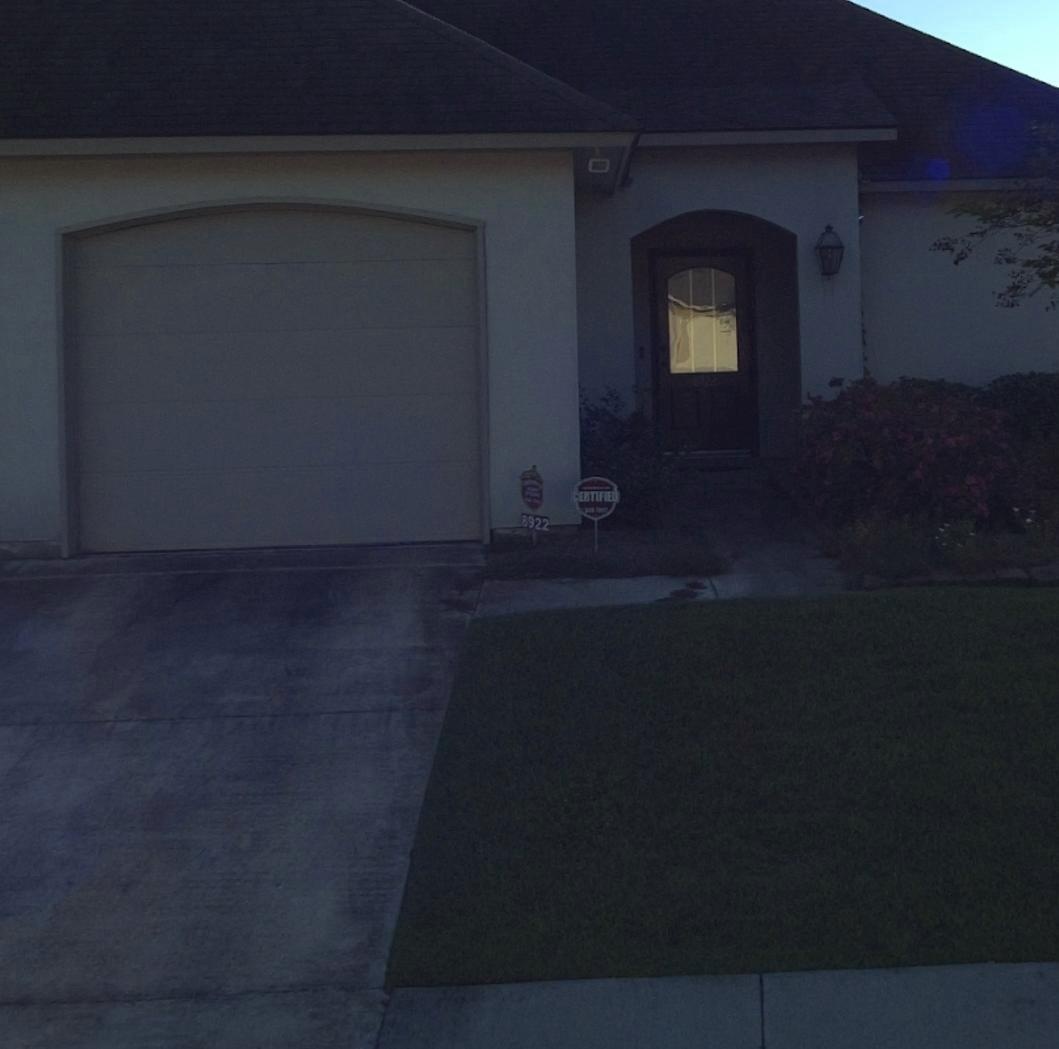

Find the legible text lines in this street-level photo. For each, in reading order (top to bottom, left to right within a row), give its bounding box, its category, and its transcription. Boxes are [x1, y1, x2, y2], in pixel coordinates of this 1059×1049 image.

[692, 374, 717, 387] StreetNumber: 8922
[572, 490, 618, 502] None: CERTIFIED
[521, 514, 550, 532] StreetNumber: 8922